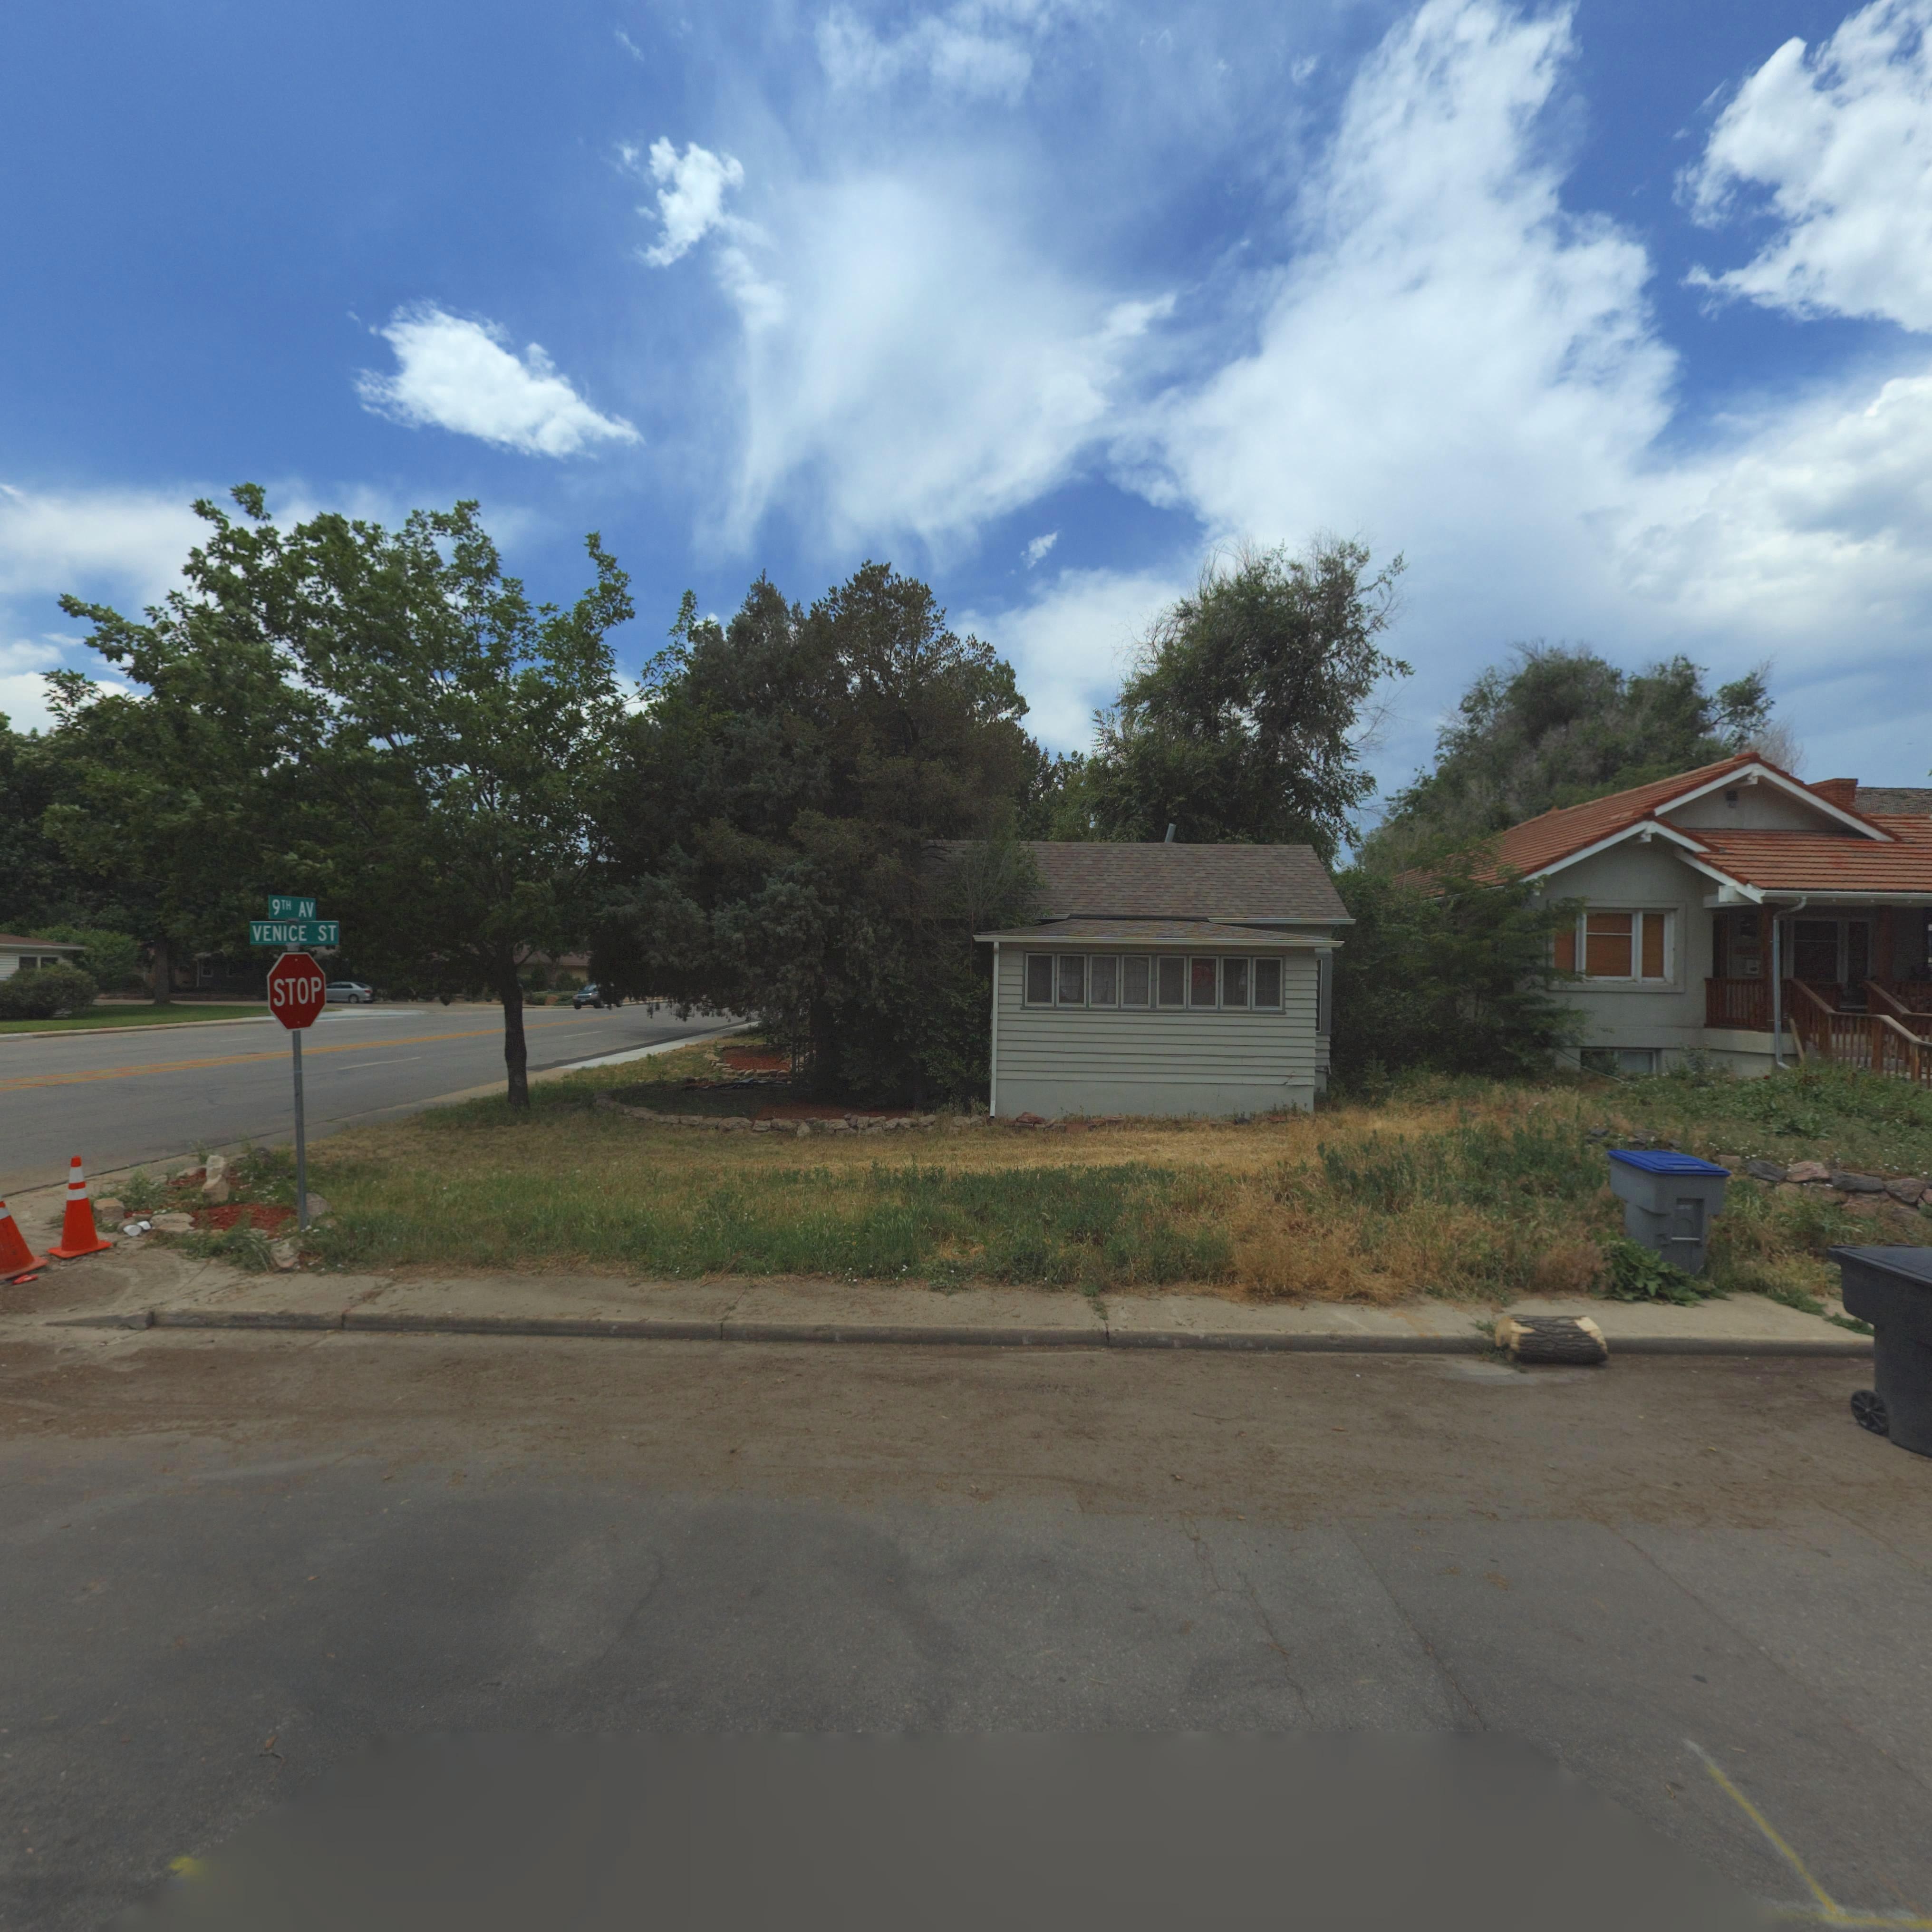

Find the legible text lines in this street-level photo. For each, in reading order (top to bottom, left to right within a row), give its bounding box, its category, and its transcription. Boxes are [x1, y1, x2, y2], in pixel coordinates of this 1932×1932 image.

[270, 898, 314, 918] StreetName: 9TH AV
[252, 925, 336, 941] StreetName: VENICE ST